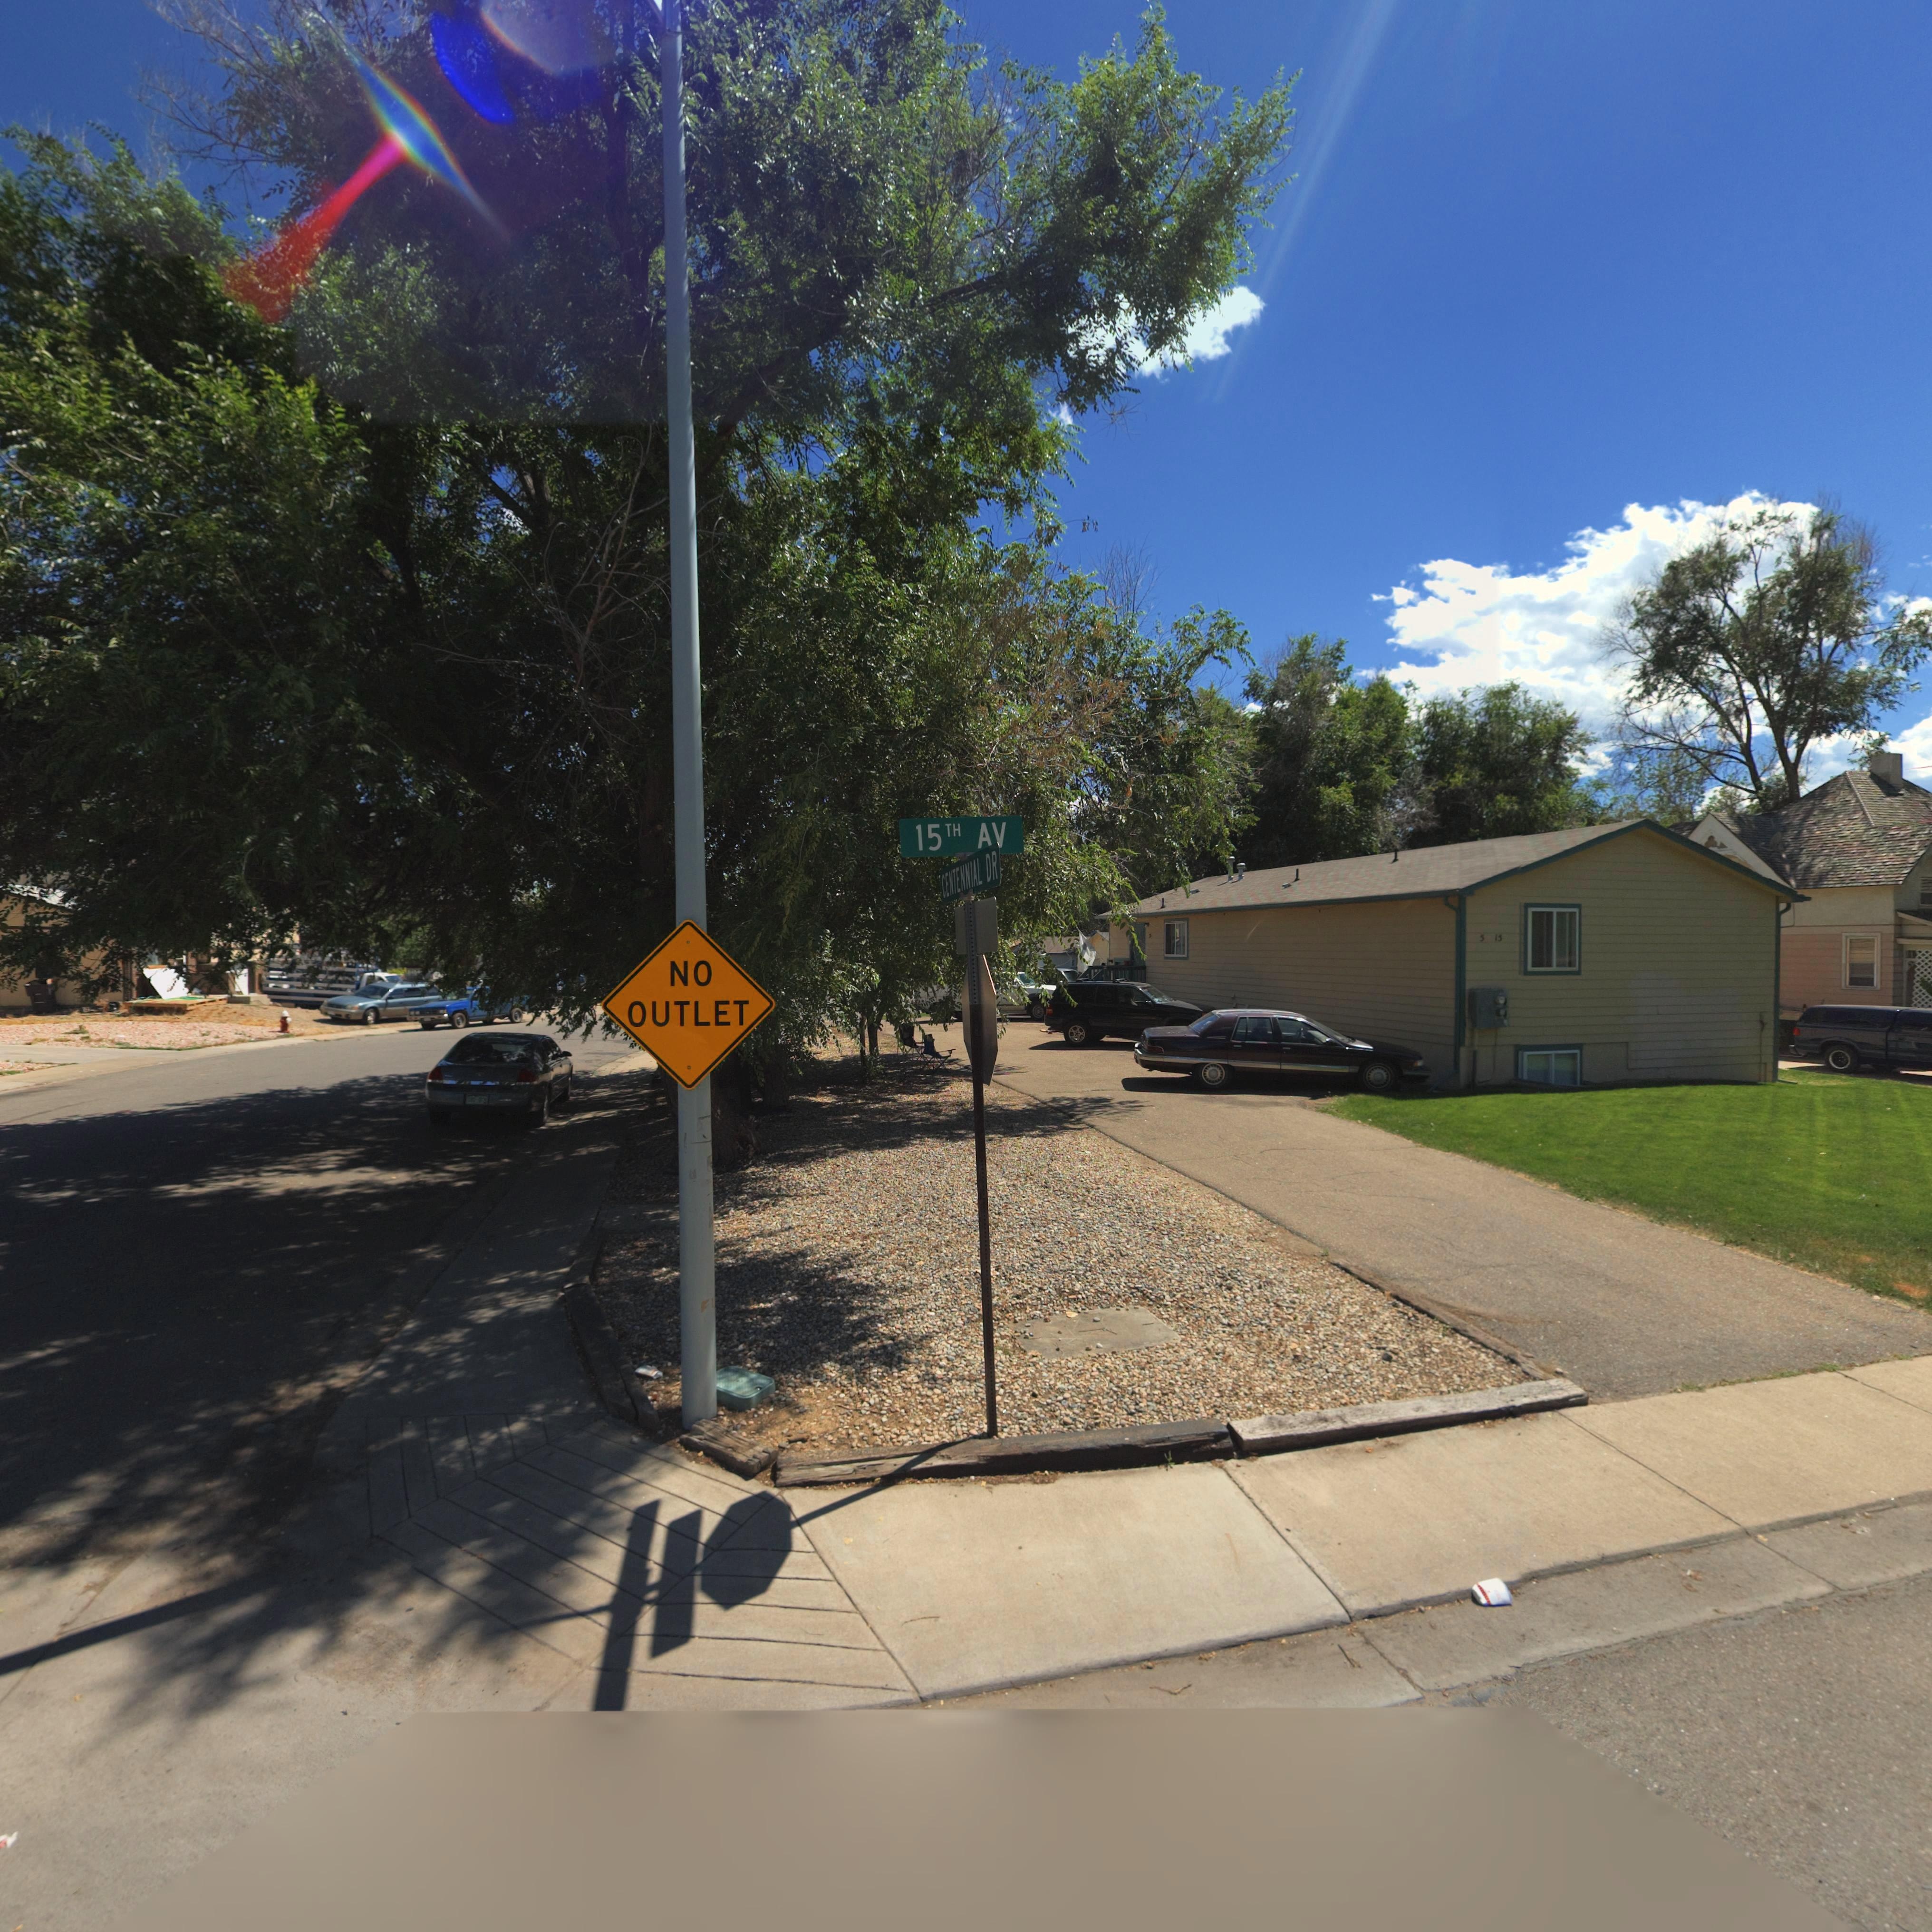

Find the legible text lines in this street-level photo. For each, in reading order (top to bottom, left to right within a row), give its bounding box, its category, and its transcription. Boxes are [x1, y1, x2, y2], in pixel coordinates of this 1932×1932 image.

[915, 821, 1007, 851] StreetName: 15TH AV
[940, 848, 1000, 900] StreetName: CENTENNIAL DR
[1479, 933, 1485, 942] StreetNumber: 5
[1494, 934, 1502, 941] StreetNumber: 15